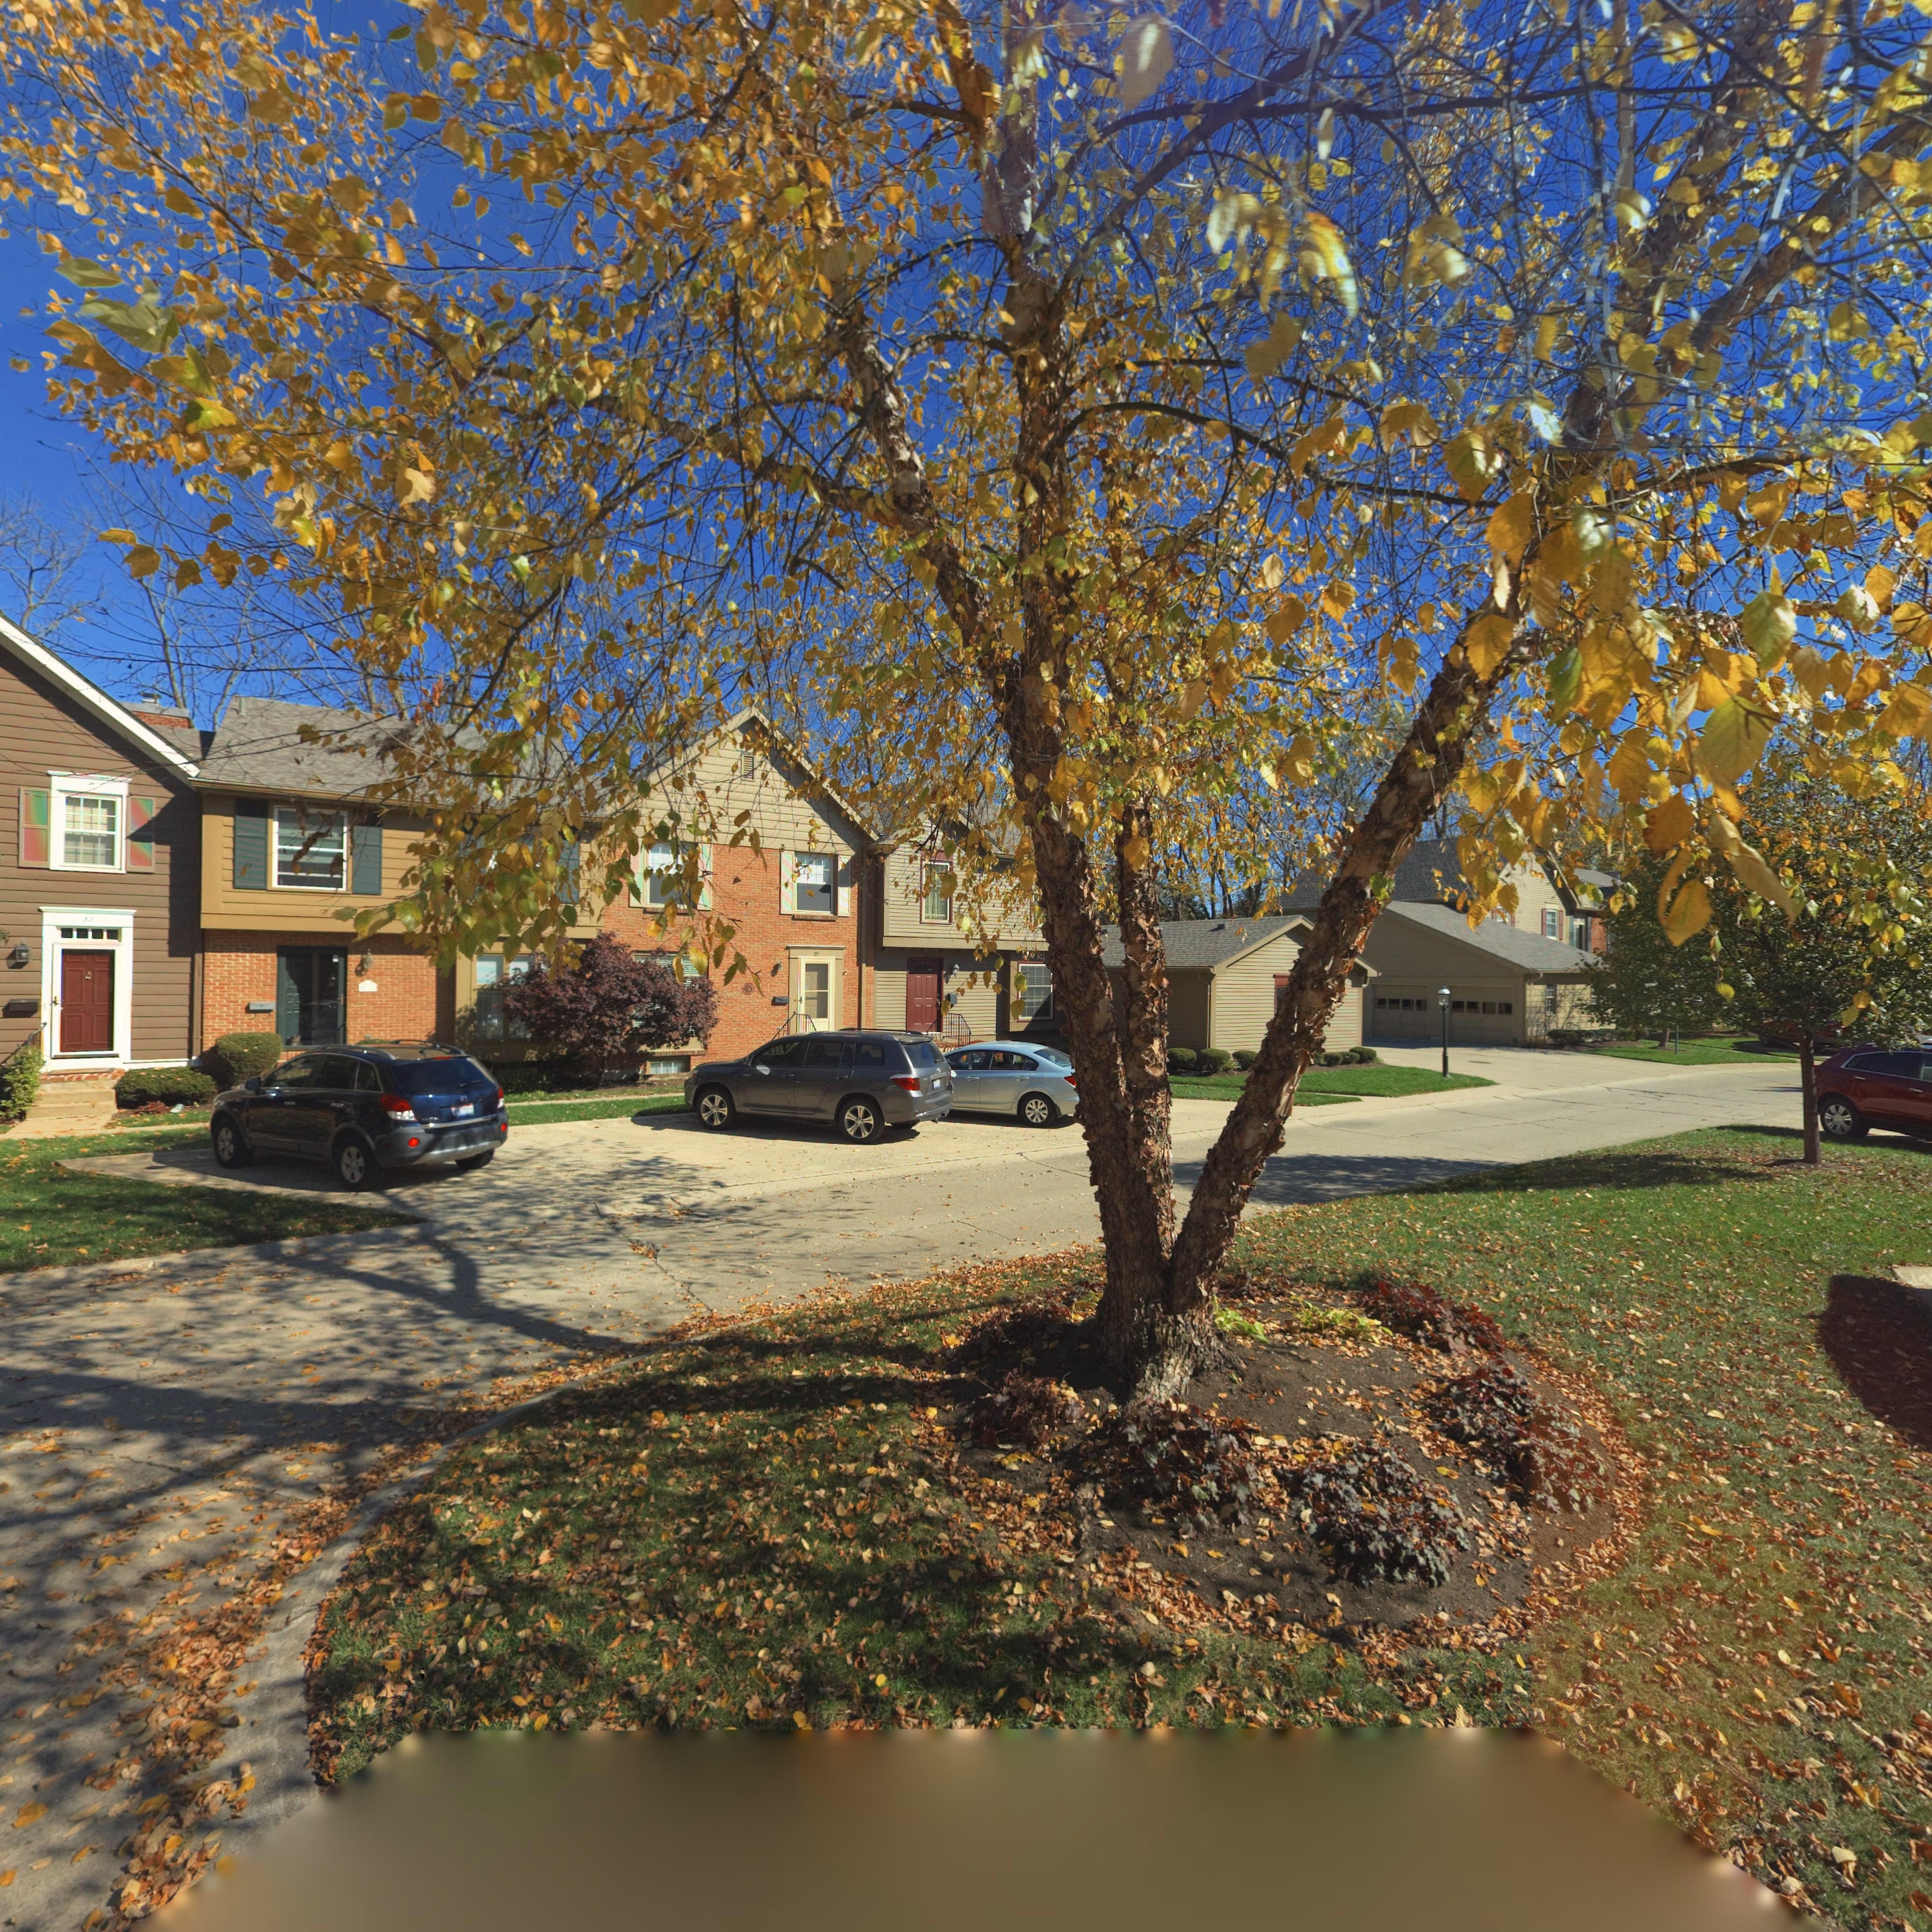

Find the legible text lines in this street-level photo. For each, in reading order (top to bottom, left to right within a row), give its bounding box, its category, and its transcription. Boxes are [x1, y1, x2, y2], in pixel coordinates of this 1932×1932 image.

[81, 916, 94, 922] StreetNumber: 33